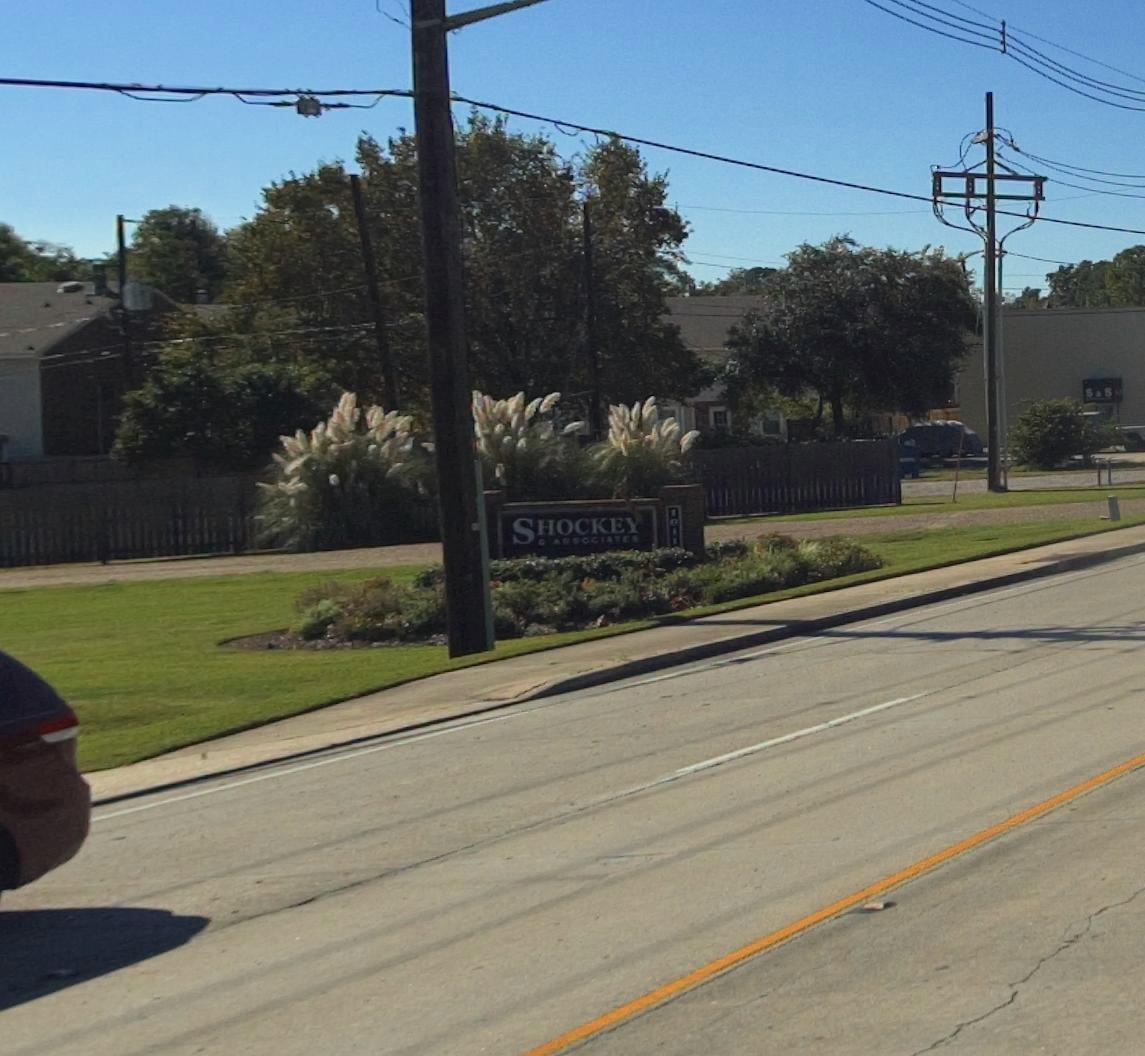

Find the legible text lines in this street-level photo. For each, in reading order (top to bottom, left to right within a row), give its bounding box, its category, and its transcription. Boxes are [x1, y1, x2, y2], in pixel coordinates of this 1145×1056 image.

[510, 514, 642, 548] BusinessName: SHOCKEY
[549, 532, 642, 550] BusinessName: ***OCCIATES
[667, 506, 681, 547] StreetNumber: 1011